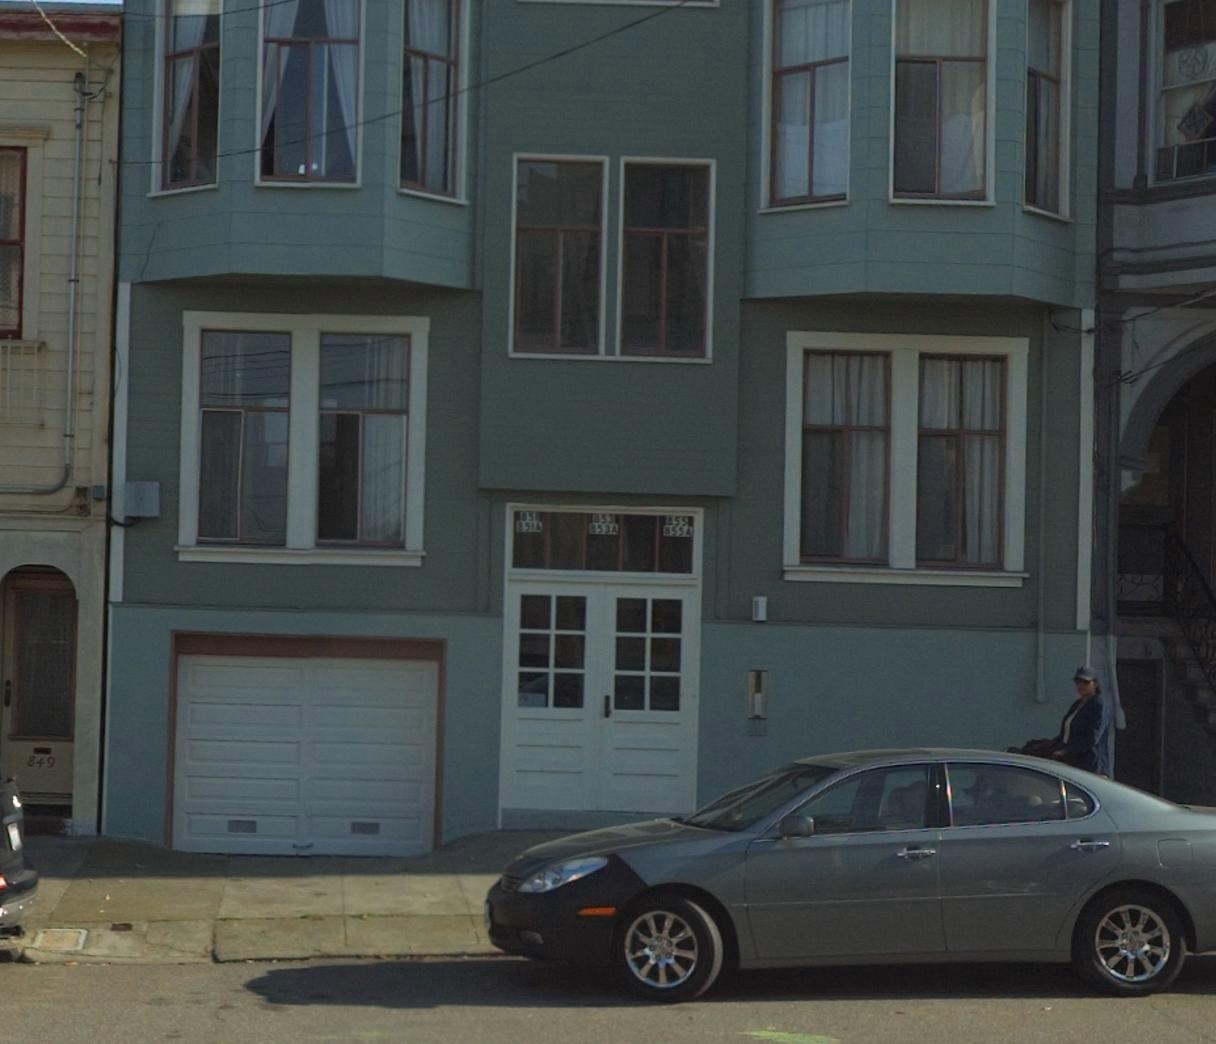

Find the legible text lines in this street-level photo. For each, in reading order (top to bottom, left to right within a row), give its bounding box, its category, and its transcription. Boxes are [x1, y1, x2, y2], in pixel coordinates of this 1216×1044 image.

[519, 512, 542, 522] StreetNumber: 851
[593, 514, 615, 524] StreetNumber: 853
[667, 514, 688, 527] StreetNumber: 855
[516, 521, 543, 533] StreetNumber: 851A
[589, 523, 618, 535] StreetNumber: 853A
[663, 524, 692, 538] StreetNumber: 855A
[24, 753, 56, 769] StreetNumber: 849